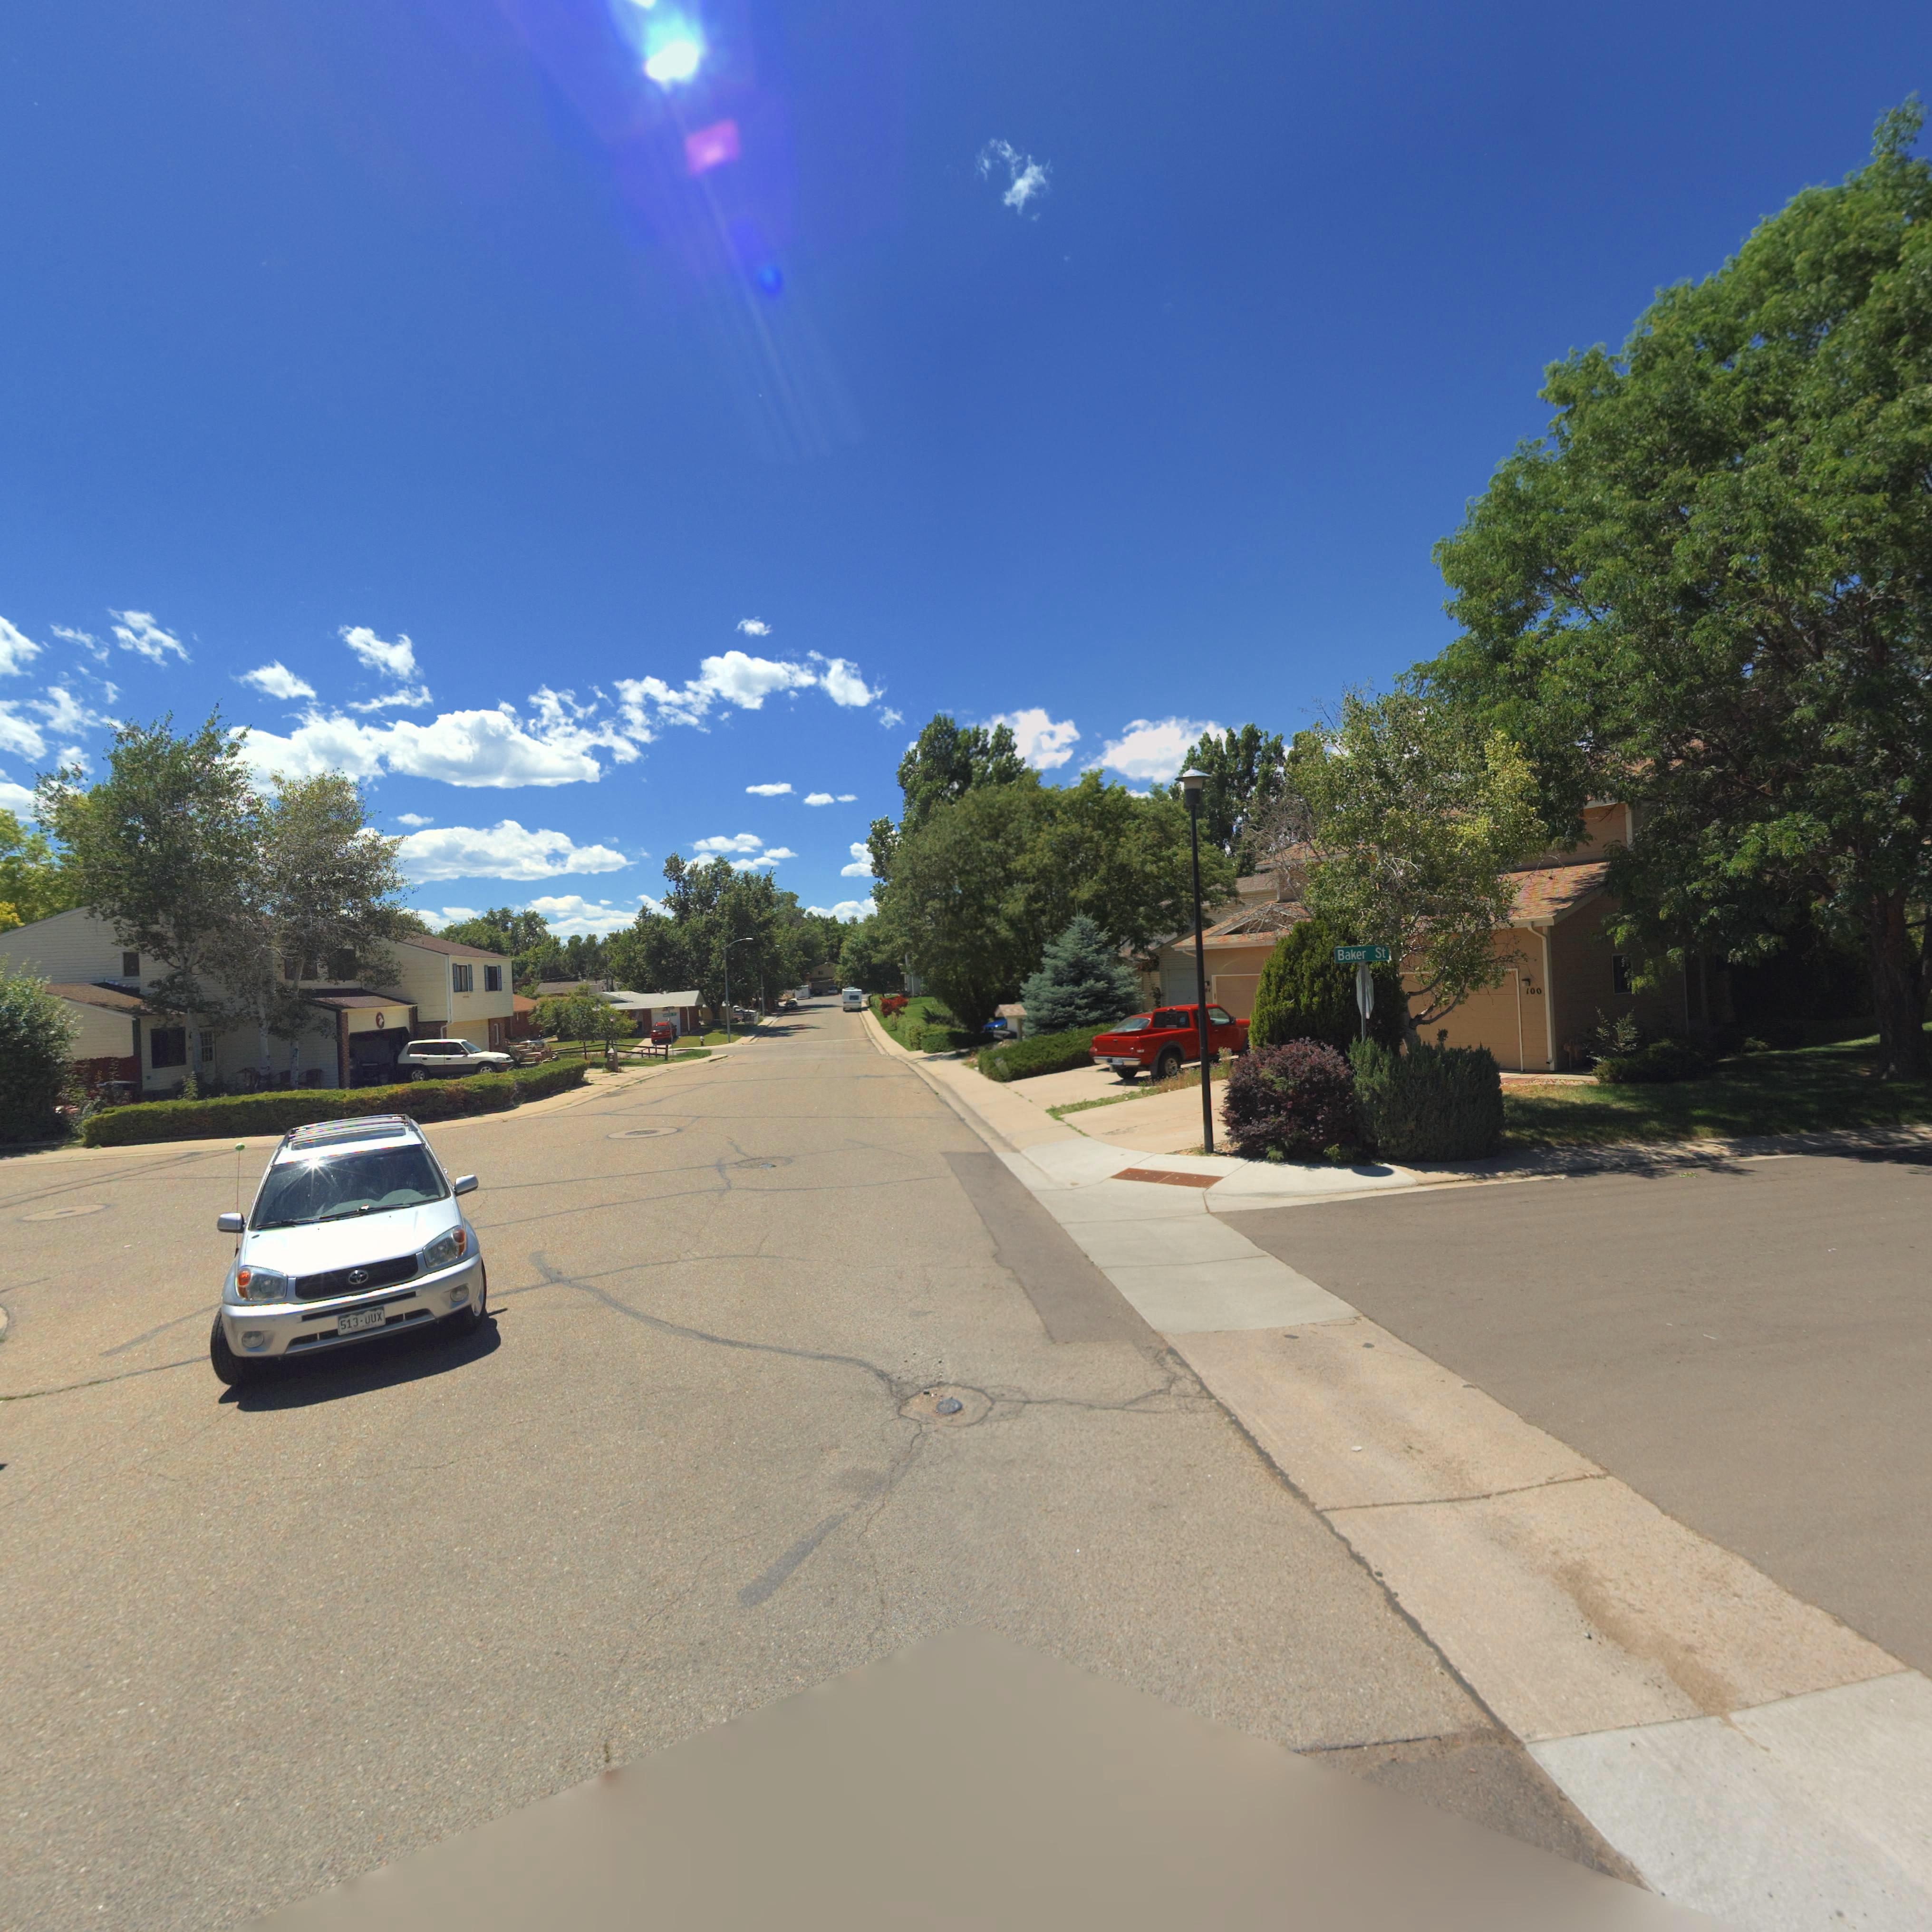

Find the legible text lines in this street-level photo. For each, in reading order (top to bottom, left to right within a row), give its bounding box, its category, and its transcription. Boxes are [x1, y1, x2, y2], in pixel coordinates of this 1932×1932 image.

[1337, 946, 1386, 961] StreetName: Baker St
[1204, 987, 1211, 993] StreetNumber: 04
[1526, 987, 1542, 995] StreetNumber: 100